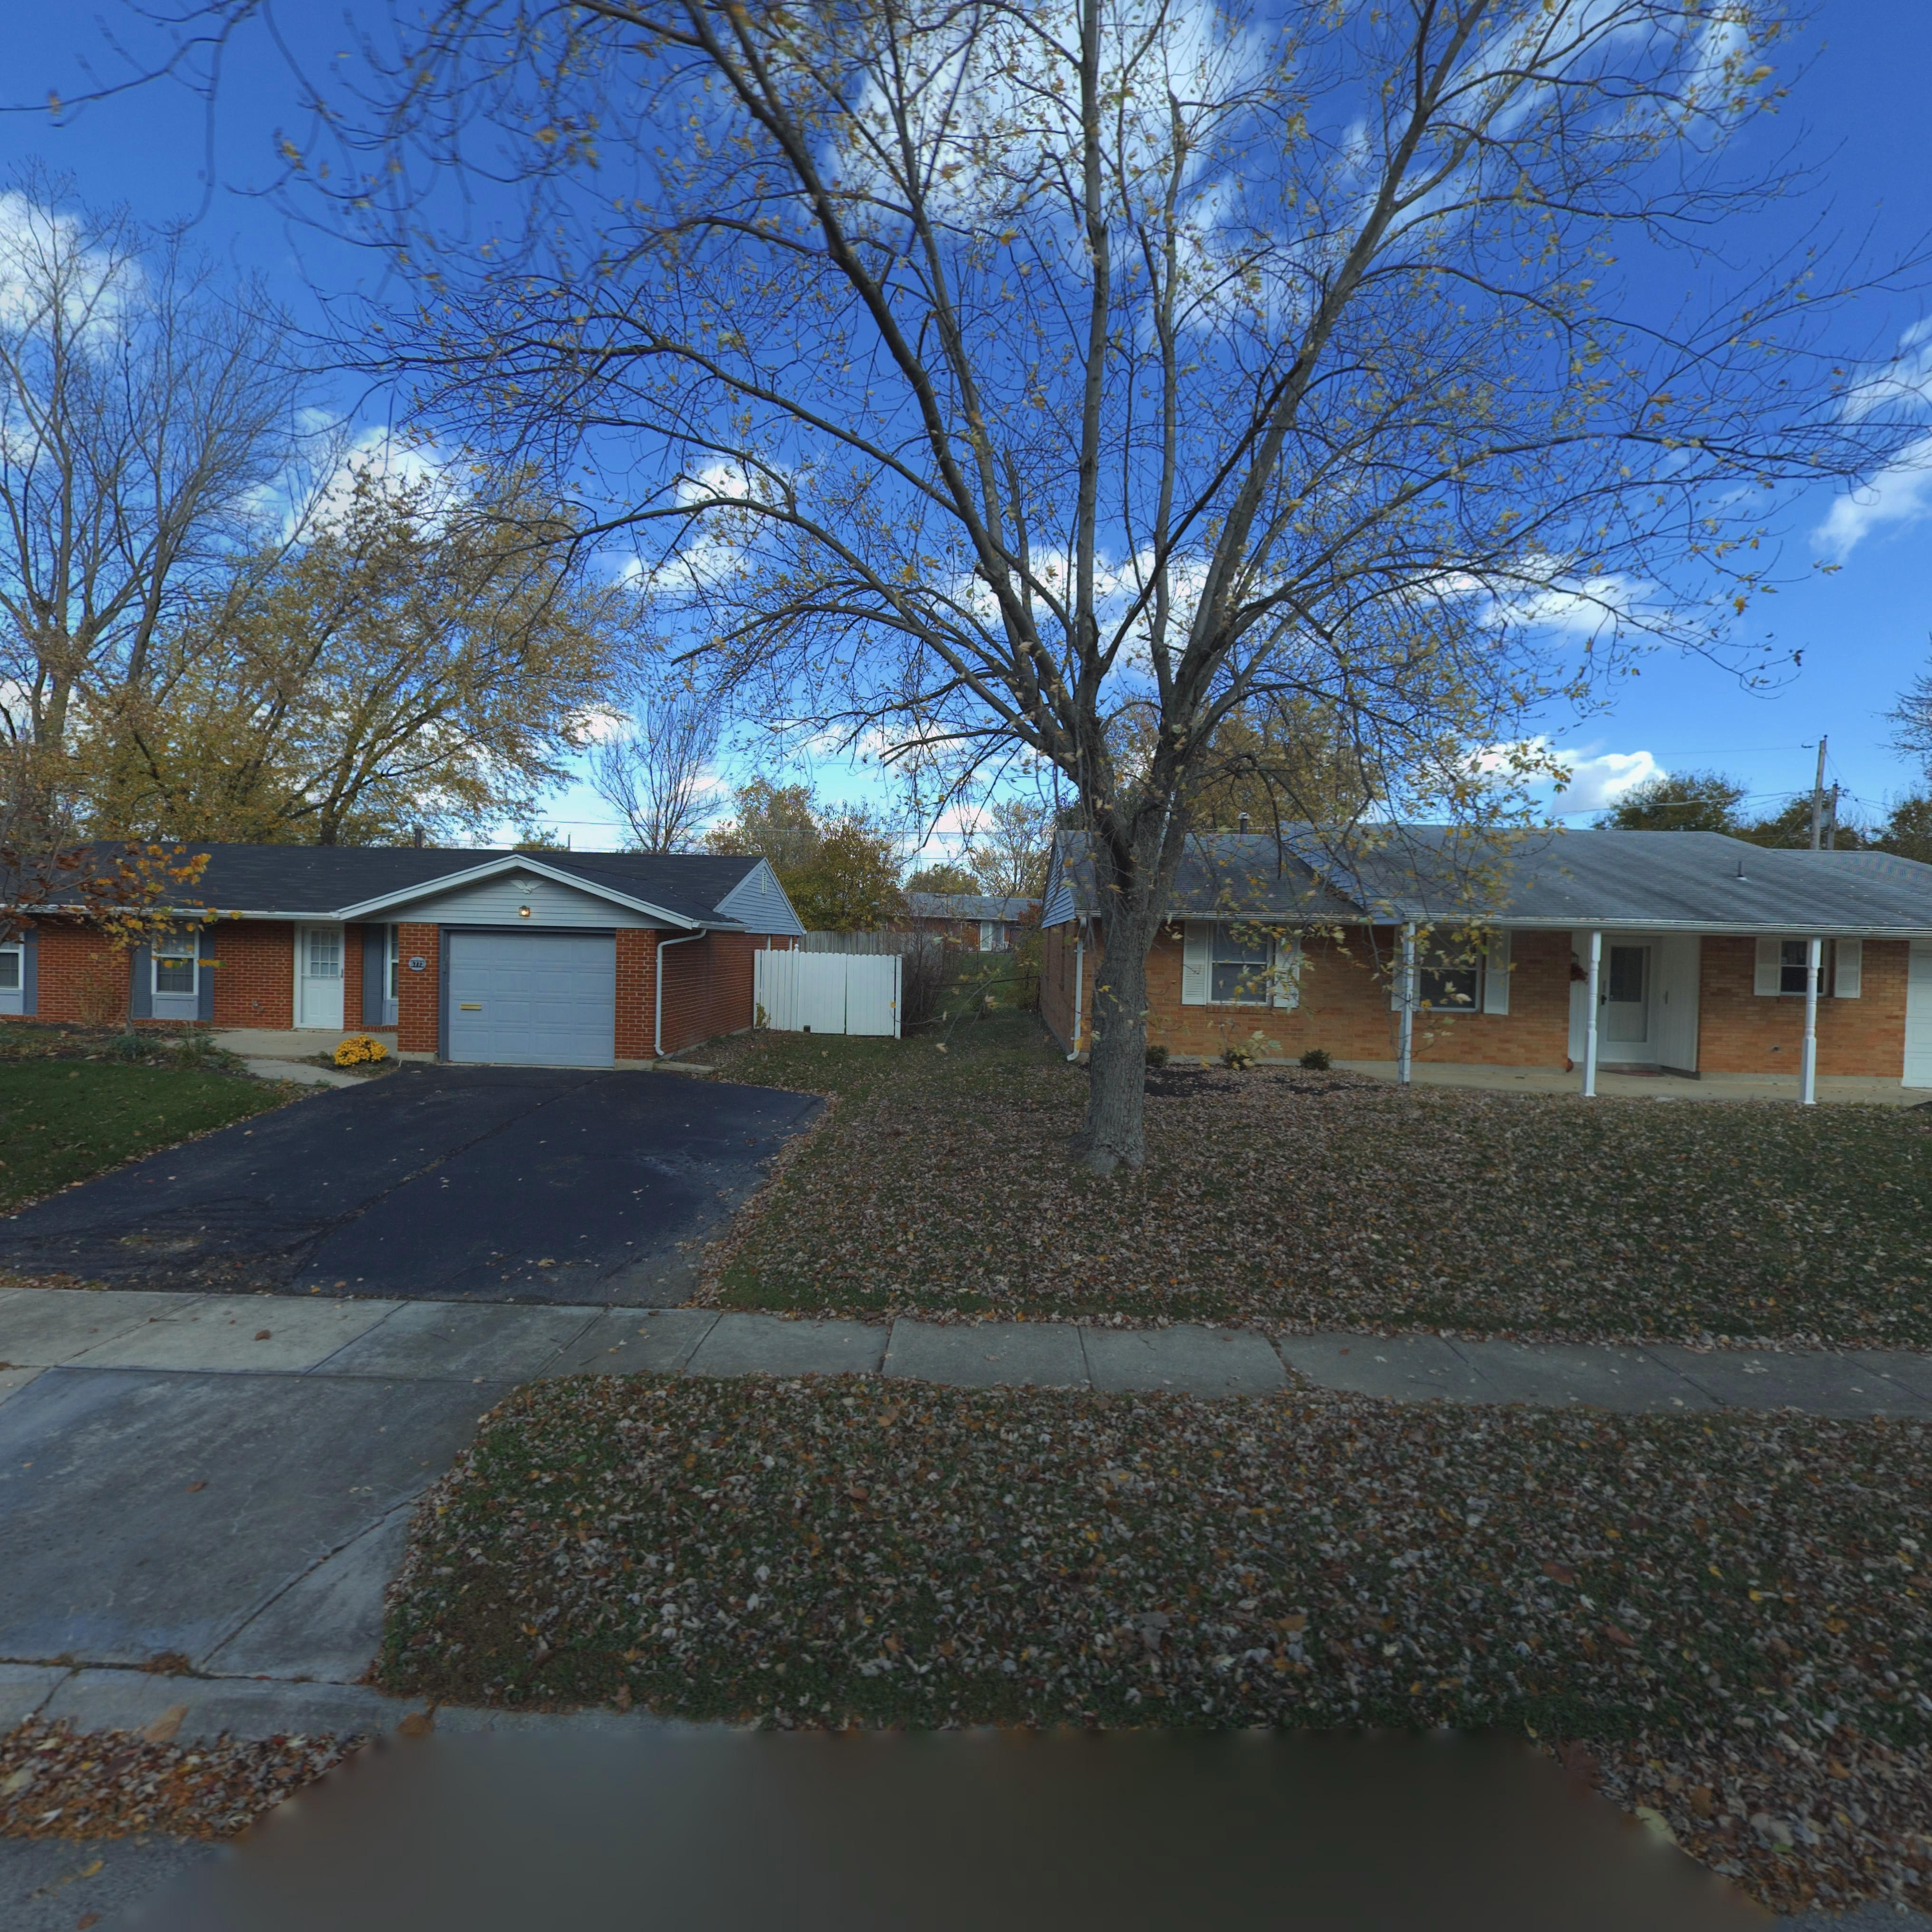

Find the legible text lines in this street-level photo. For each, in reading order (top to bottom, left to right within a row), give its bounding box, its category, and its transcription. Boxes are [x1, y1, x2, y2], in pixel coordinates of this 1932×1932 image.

[410, 961, 425, 967] StreetNumber: 6773